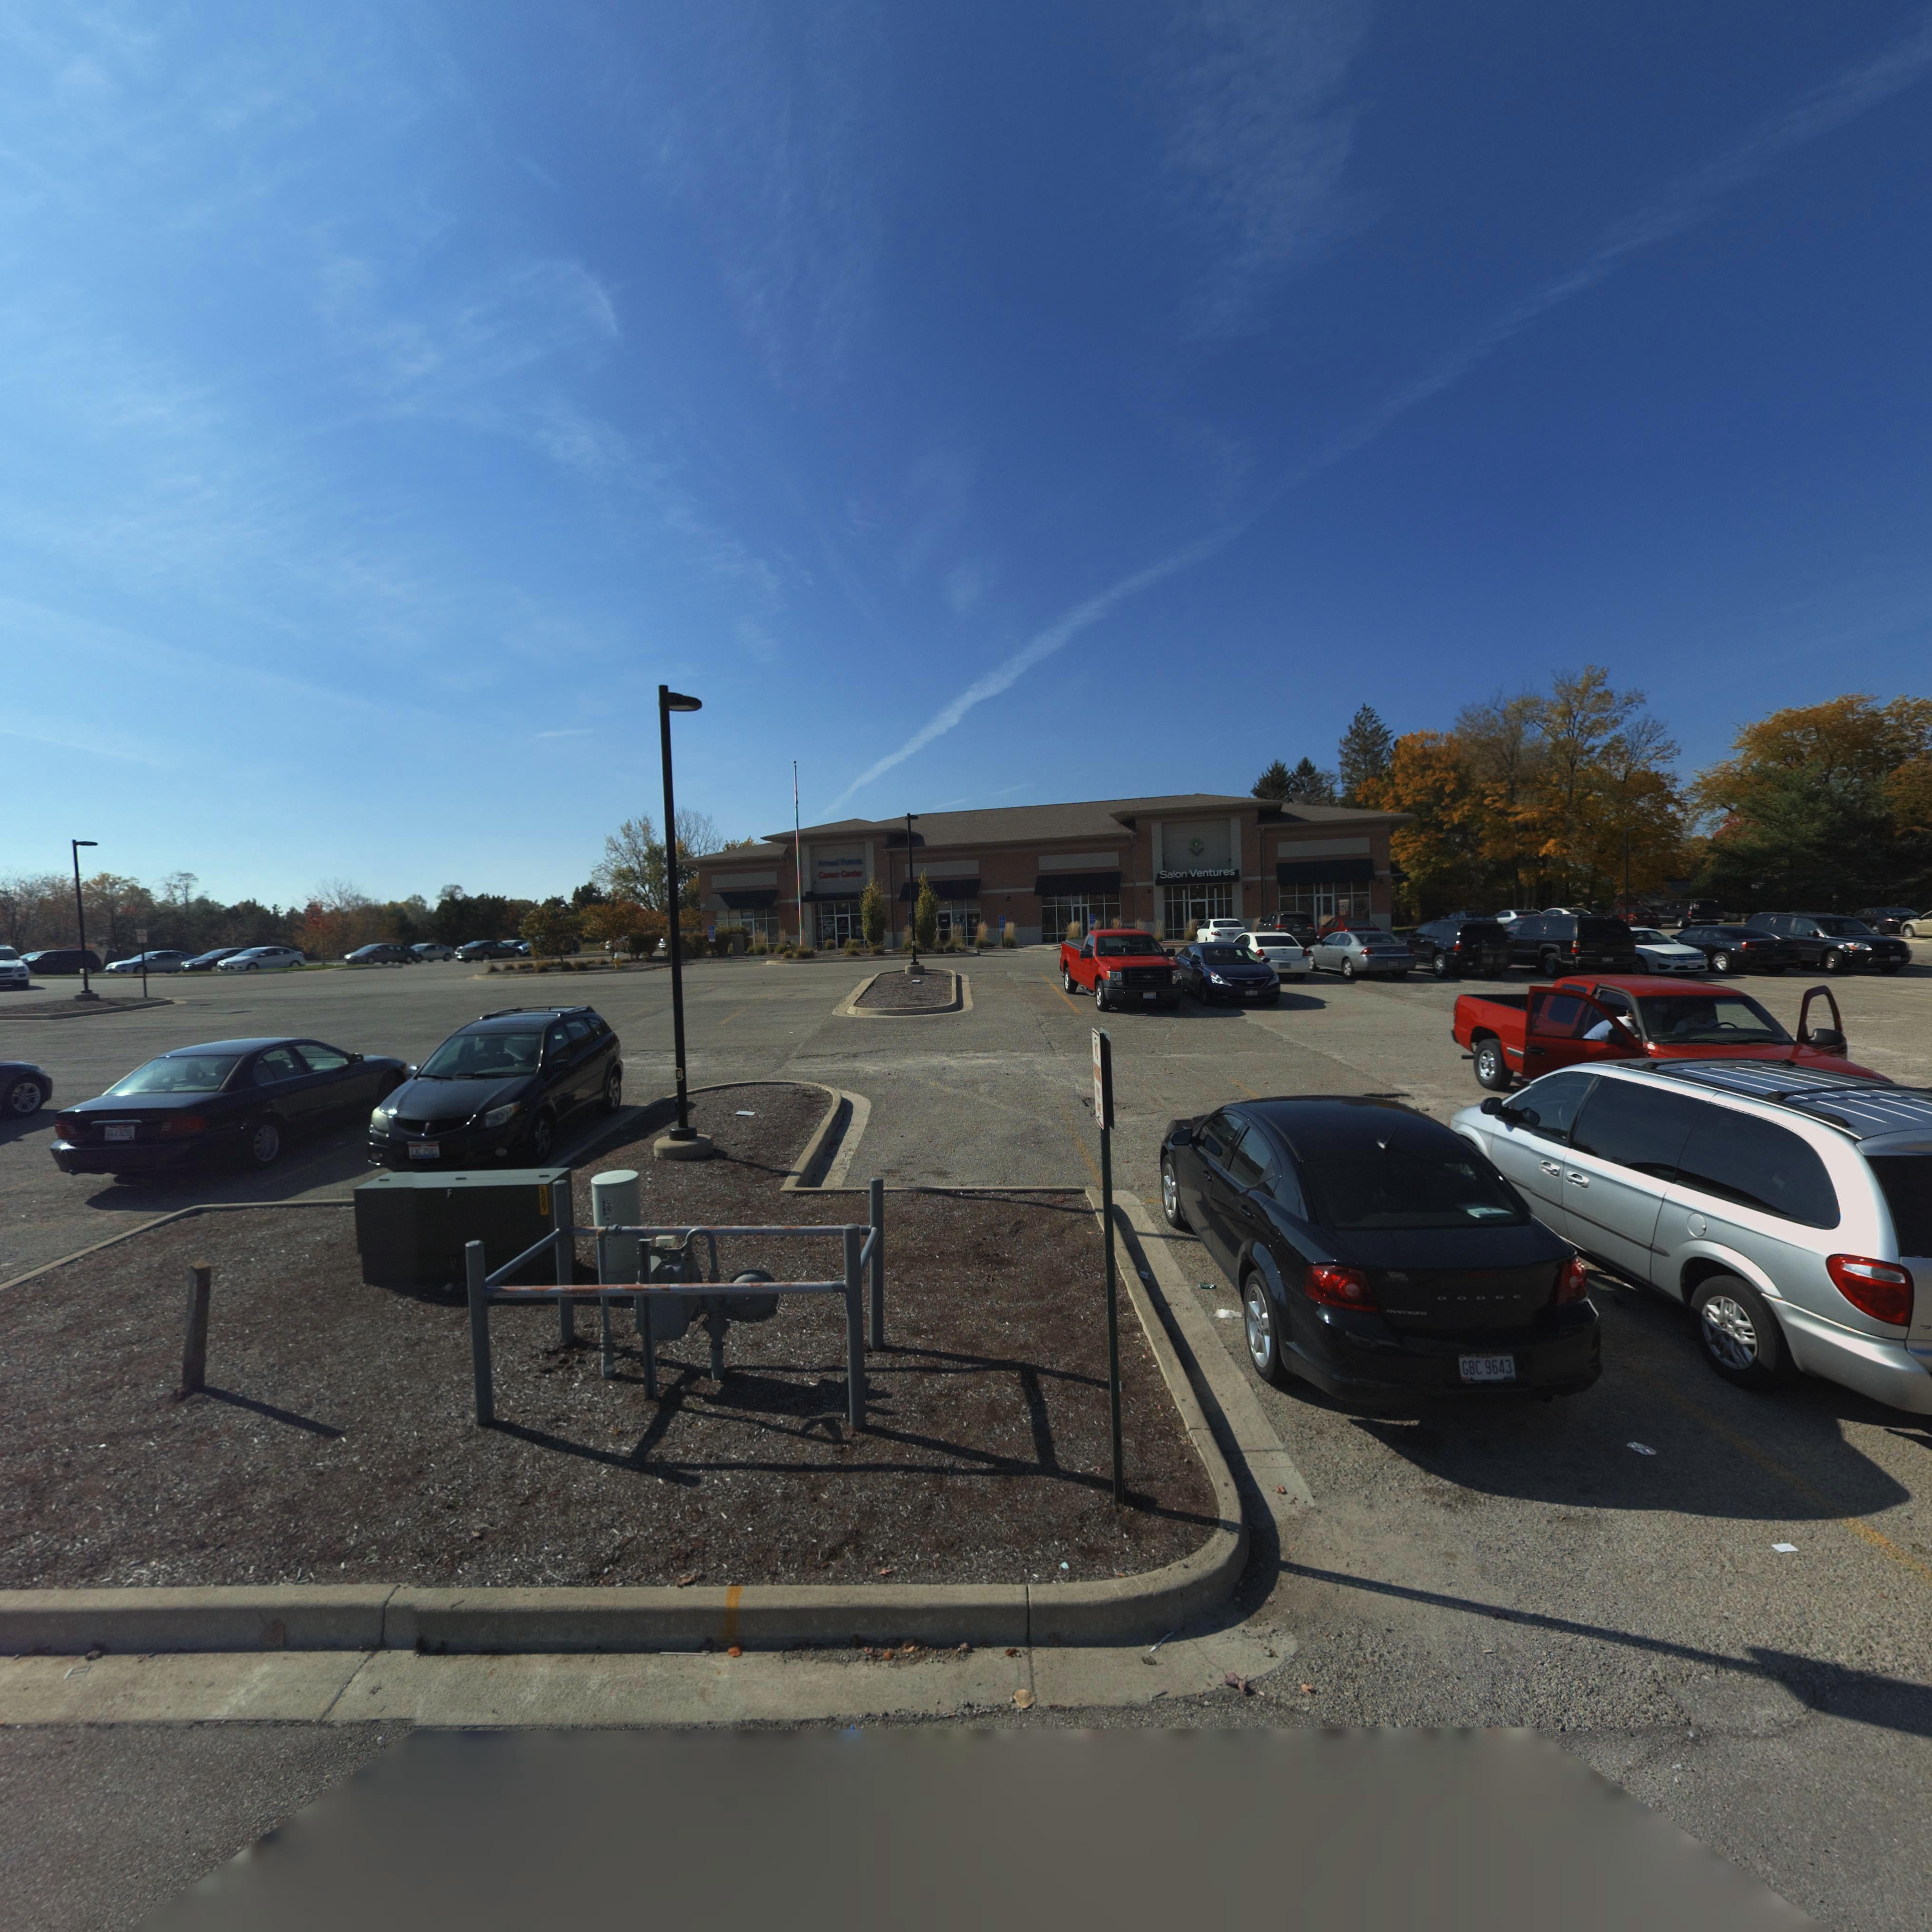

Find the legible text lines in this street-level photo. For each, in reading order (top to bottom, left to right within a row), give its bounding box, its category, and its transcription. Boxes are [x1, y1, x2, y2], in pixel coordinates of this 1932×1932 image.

[818, 869, 863, 880] BusinessName: C***** C*nt*r
[1159, 867, 1237, 880] BusinessName: Salon Ventures